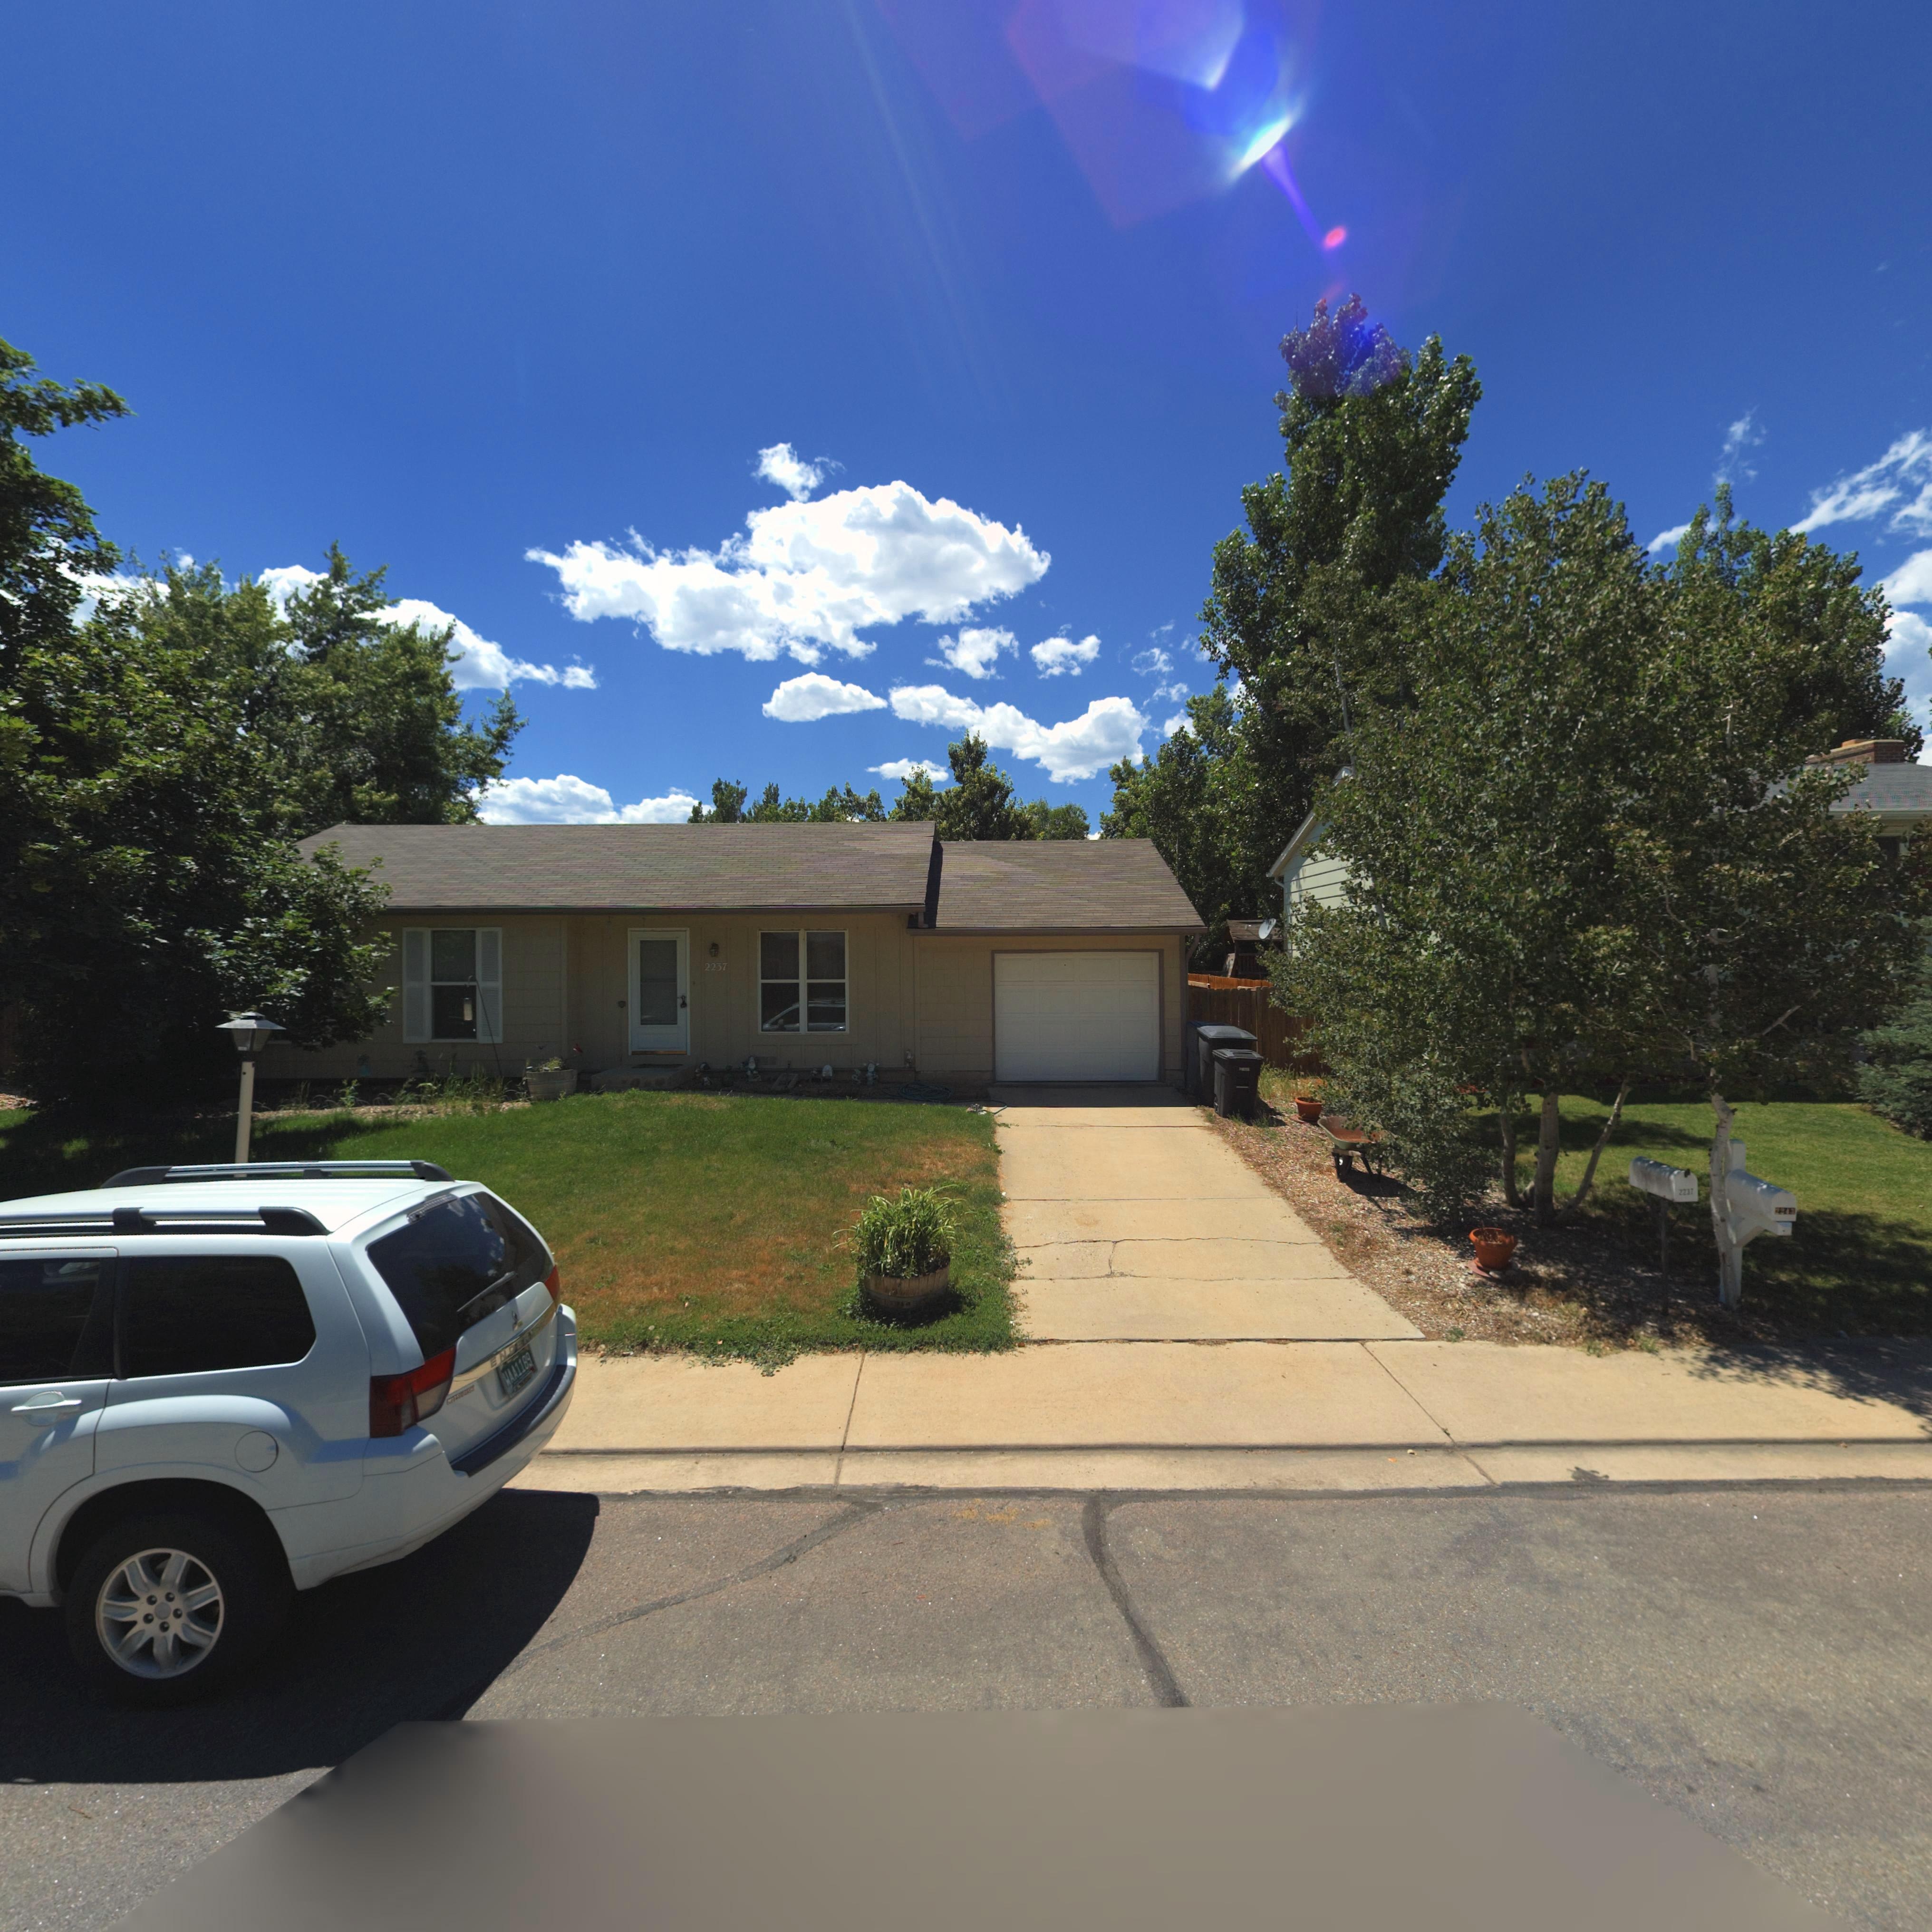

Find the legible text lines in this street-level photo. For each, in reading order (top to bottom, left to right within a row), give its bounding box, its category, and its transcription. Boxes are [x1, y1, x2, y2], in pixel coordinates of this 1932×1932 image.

[703, 962, 728, 971] StreetNumber: 2237
[1678, 1188, 1693, 1195] StreetNumber: 2237
[1775, 1207, 1795, 1215] StreetNumber: 22**